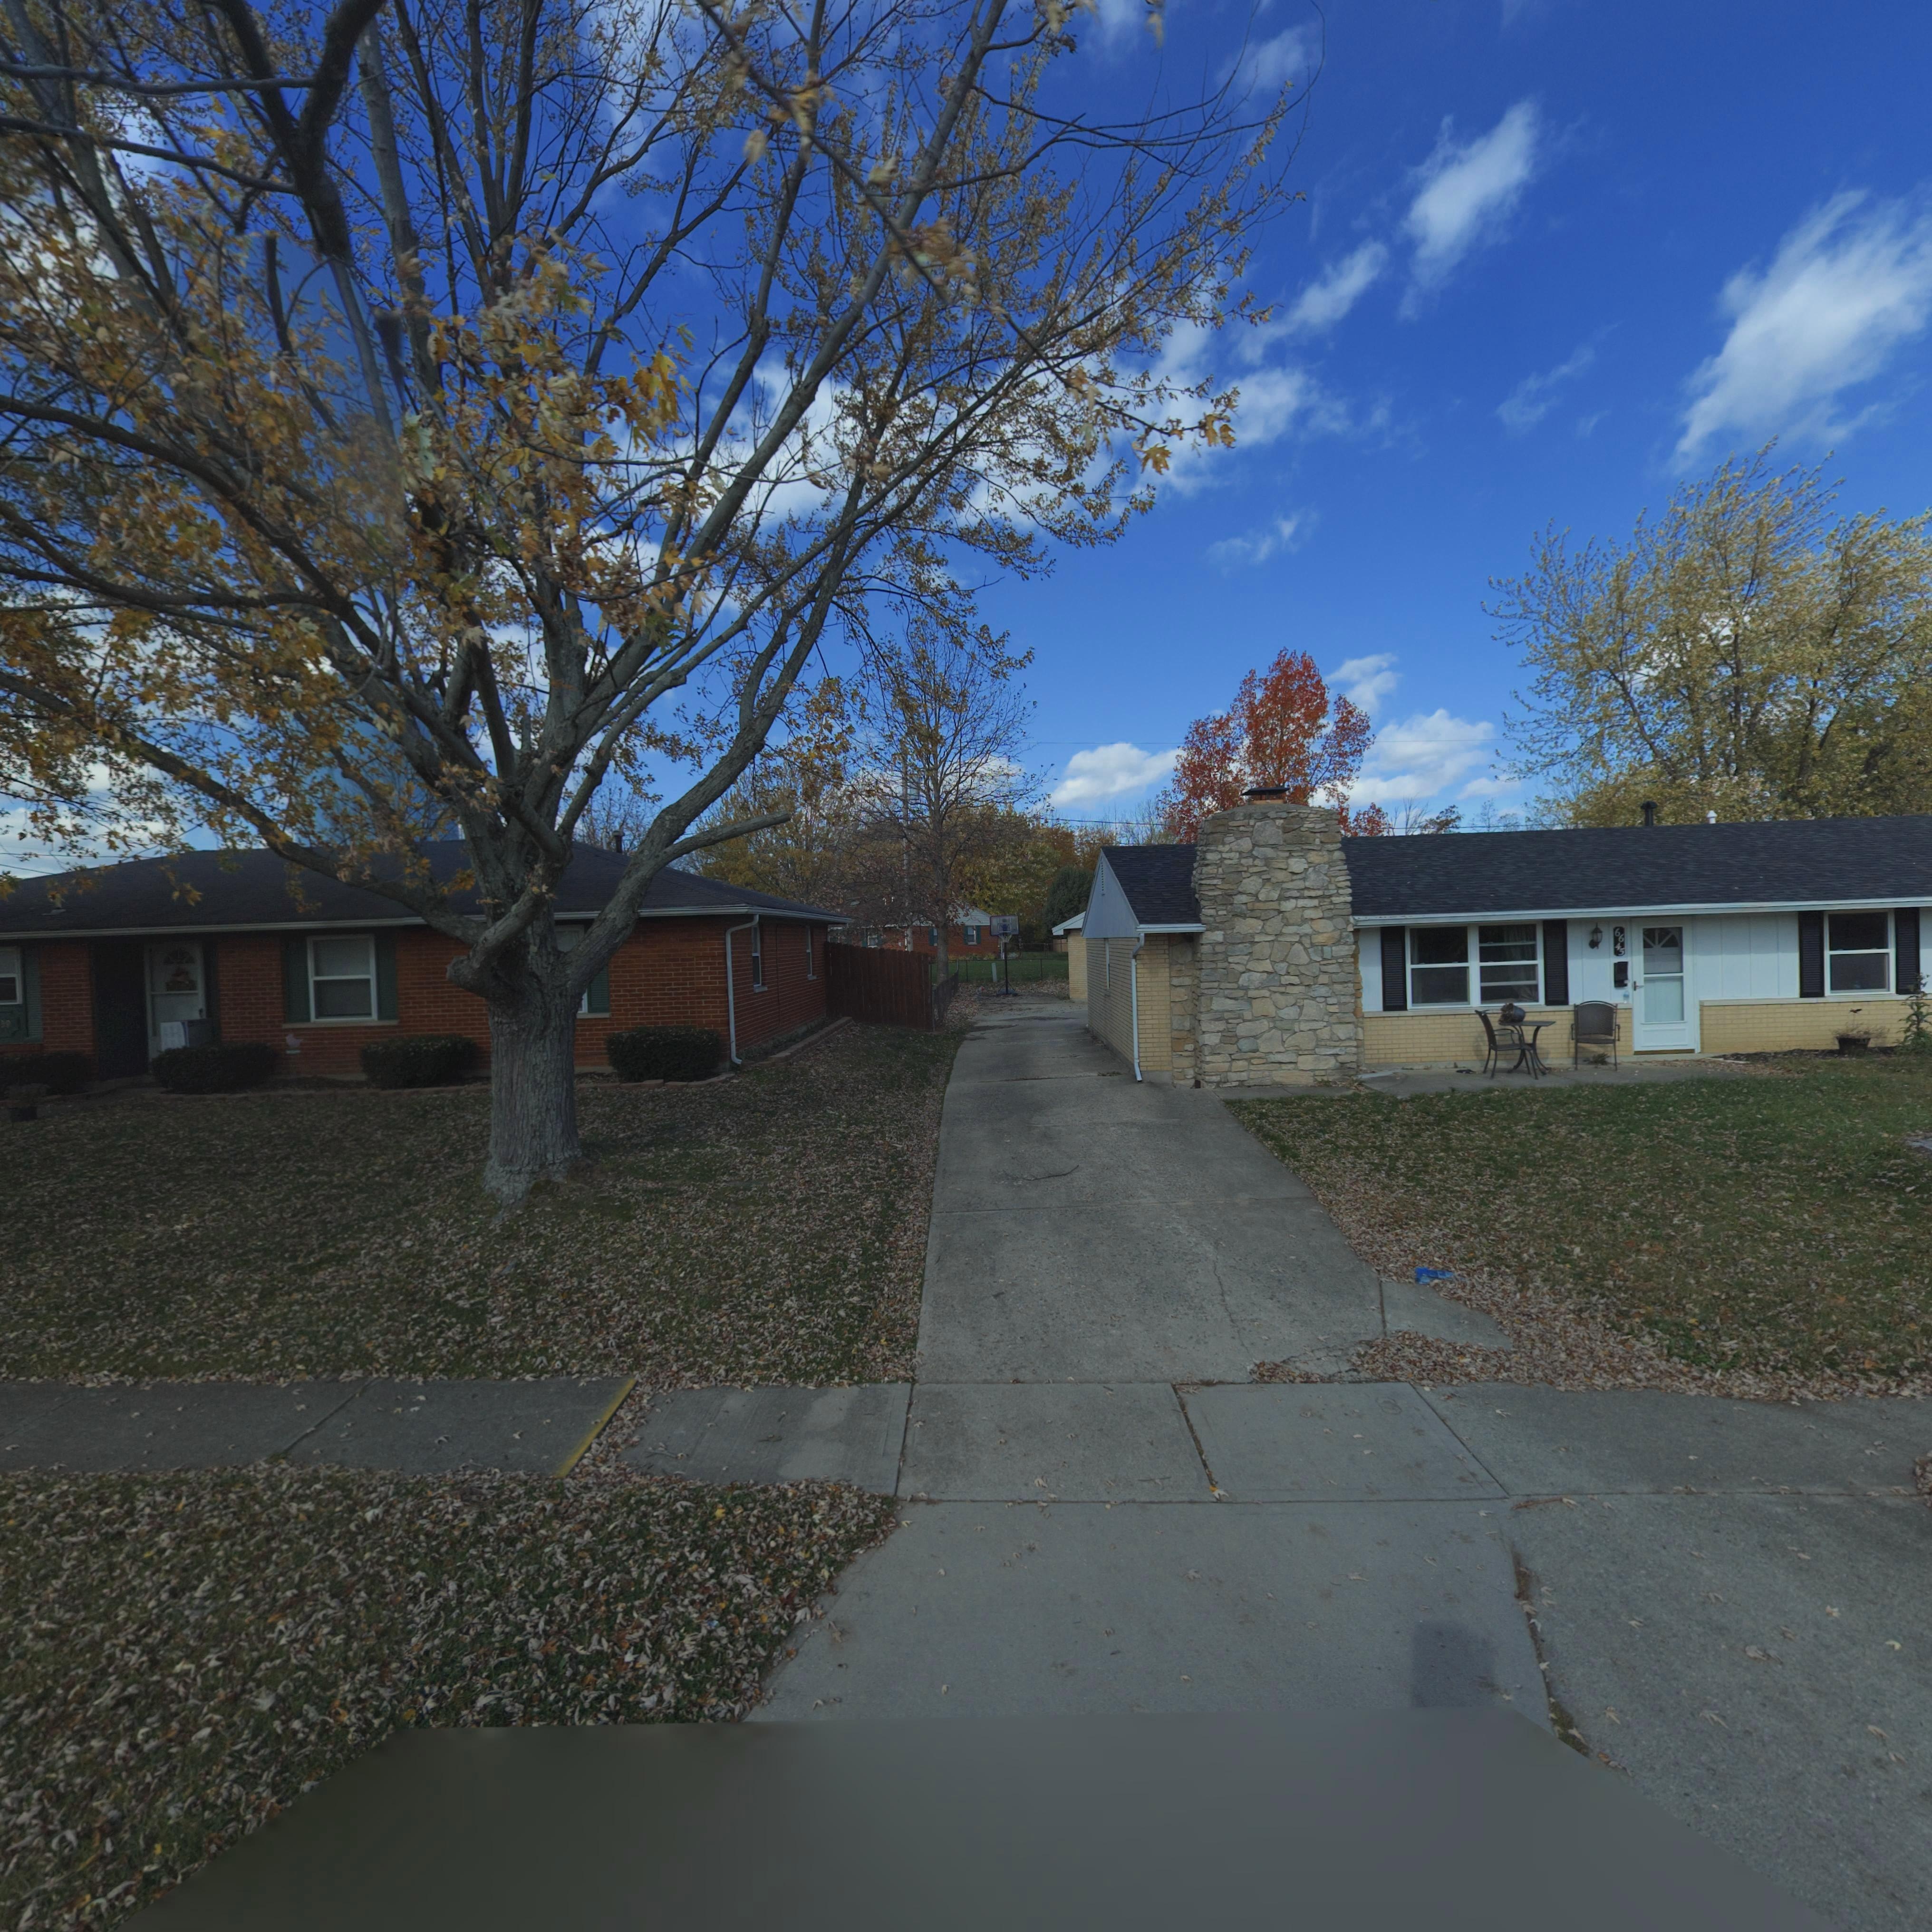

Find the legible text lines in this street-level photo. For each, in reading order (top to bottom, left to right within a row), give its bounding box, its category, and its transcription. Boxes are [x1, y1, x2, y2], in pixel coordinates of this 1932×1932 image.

[1613, 927, 1625, 943] StreetNumber: 66
[1613, 942, 1626, 956] StreetNumber: 45